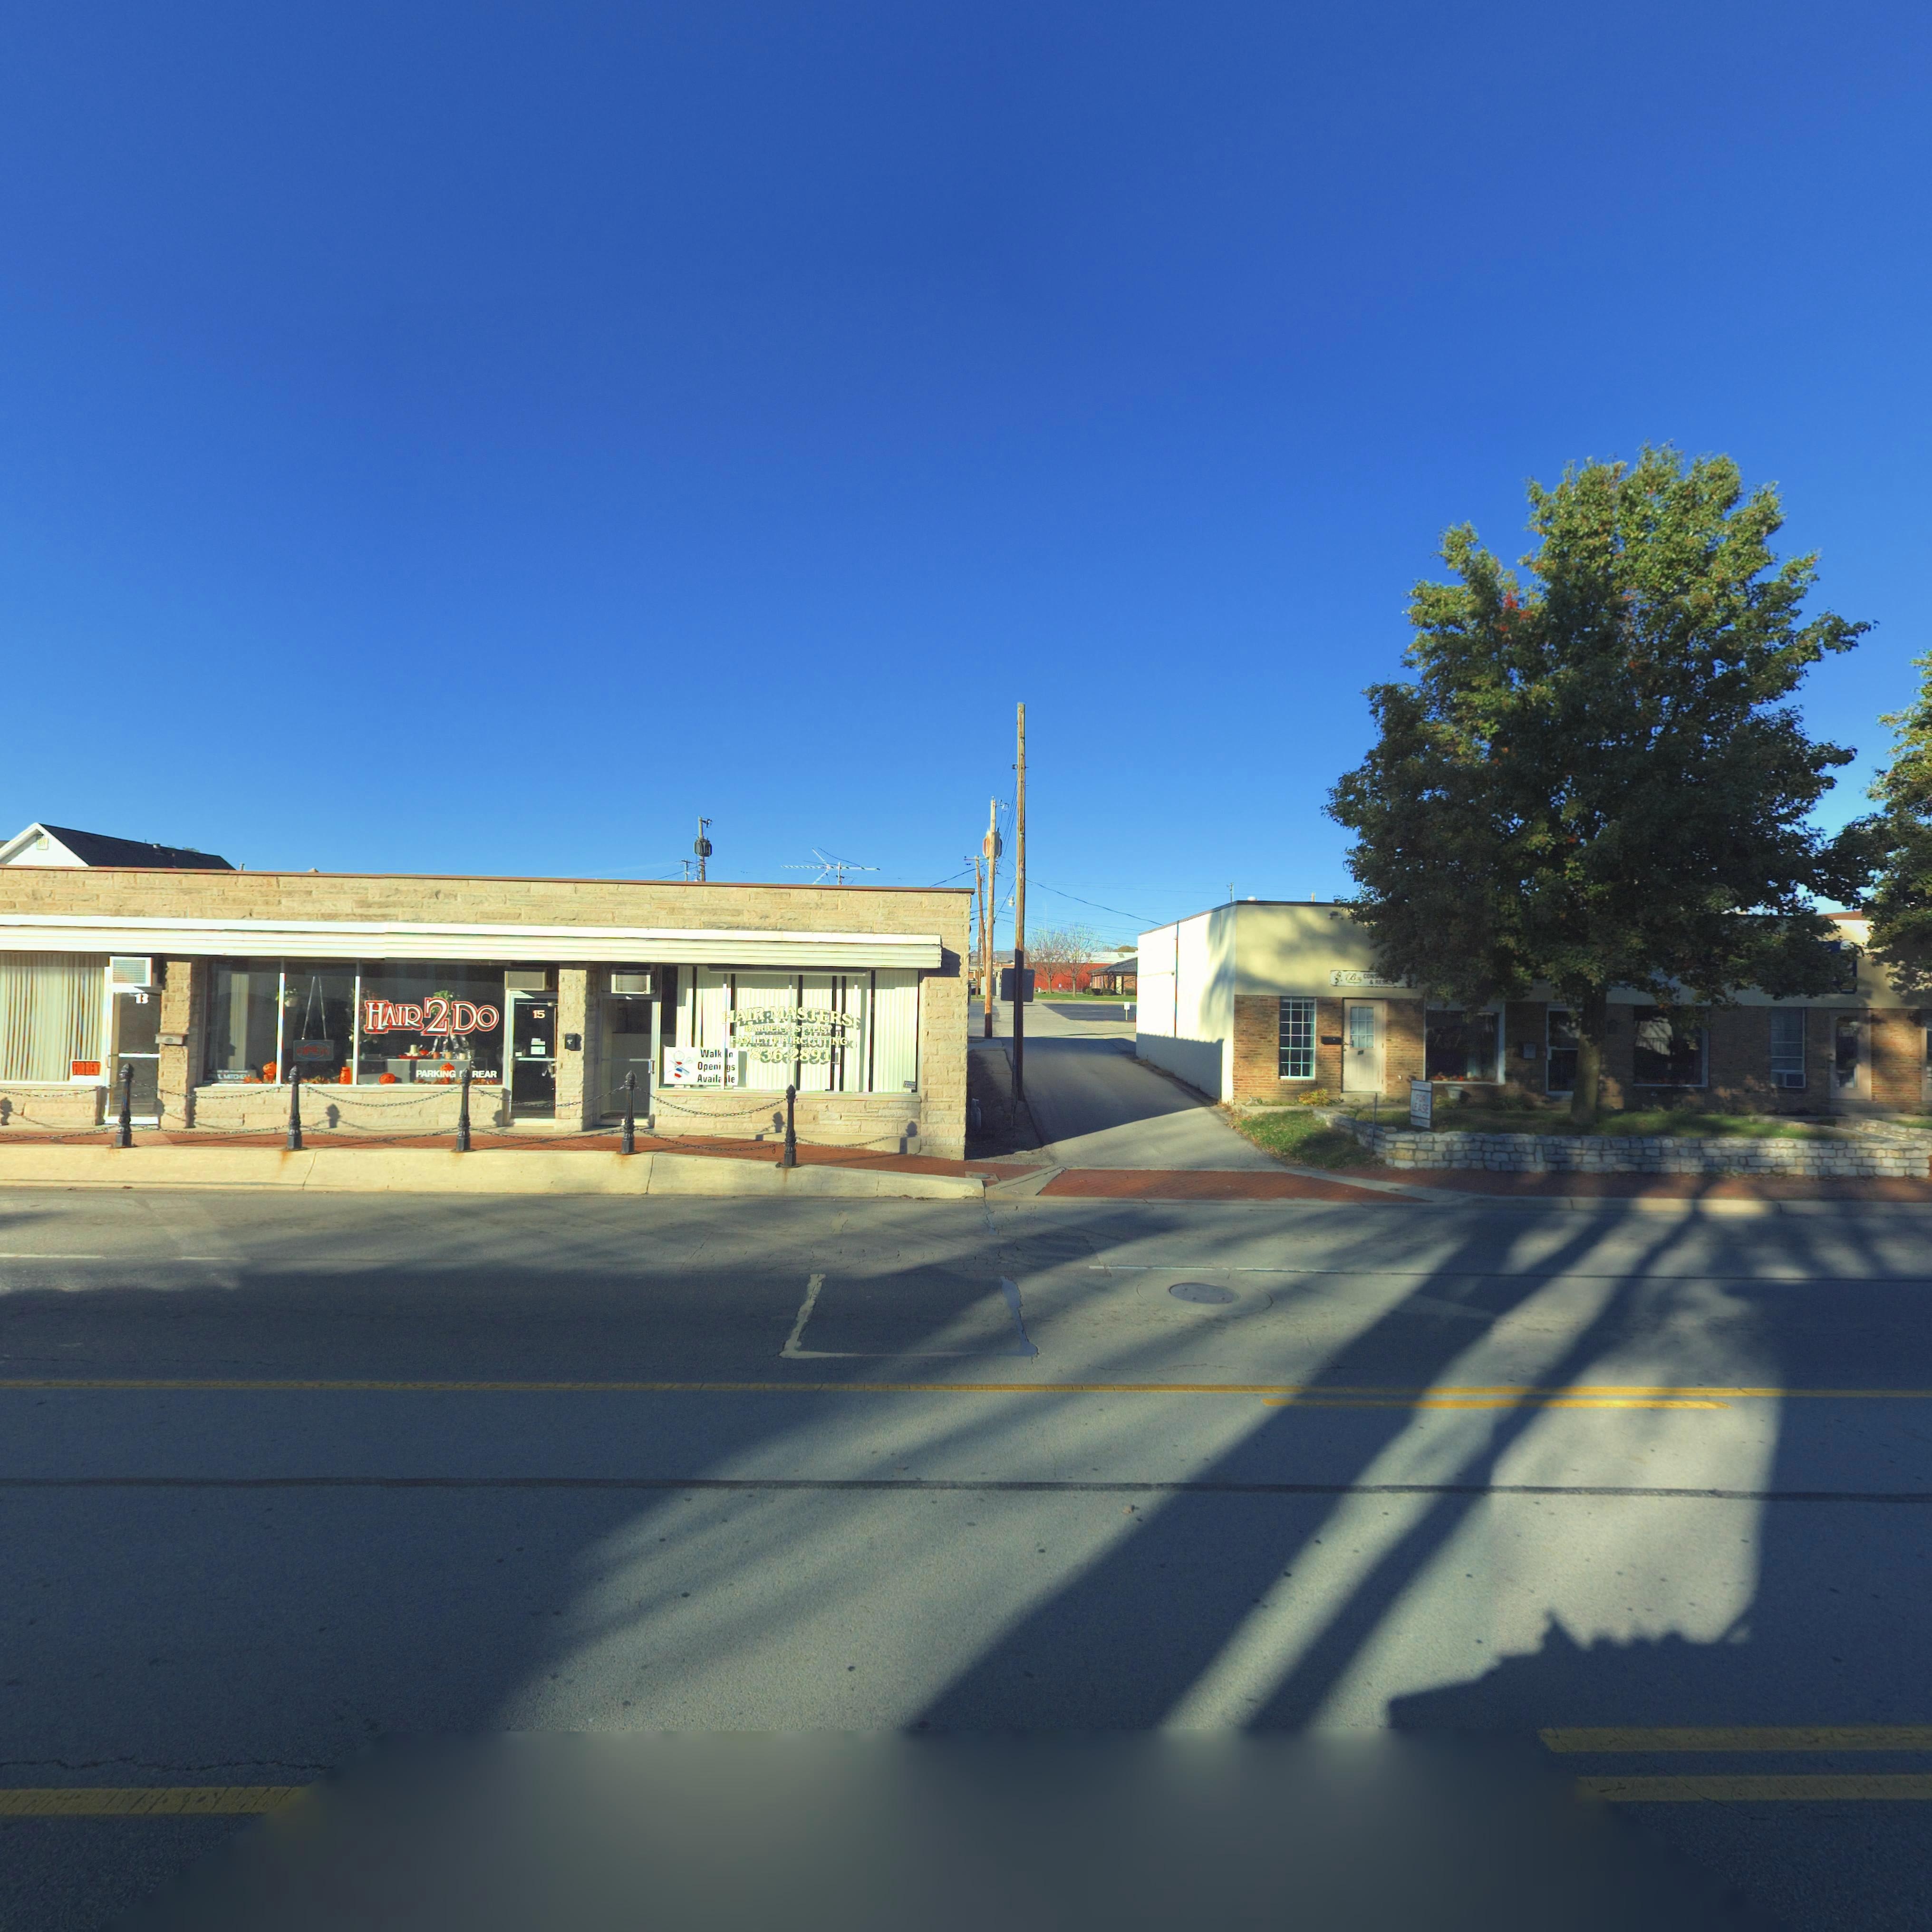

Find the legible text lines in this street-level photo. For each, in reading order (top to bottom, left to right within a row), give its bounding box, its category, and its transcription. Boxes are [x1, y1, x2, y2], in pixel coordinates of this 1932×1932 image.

[134, 993, 149, 1004] None: 13
[532, 1010, 546, 1019] StreetNumber: 15
[621, 1009, 629, 1016] StreetNumber: 17
[1609, 1024, 1617, 1032] StreetNumber: *3
[1358, 1050, 1364, 1055] StreetNumber: 2*